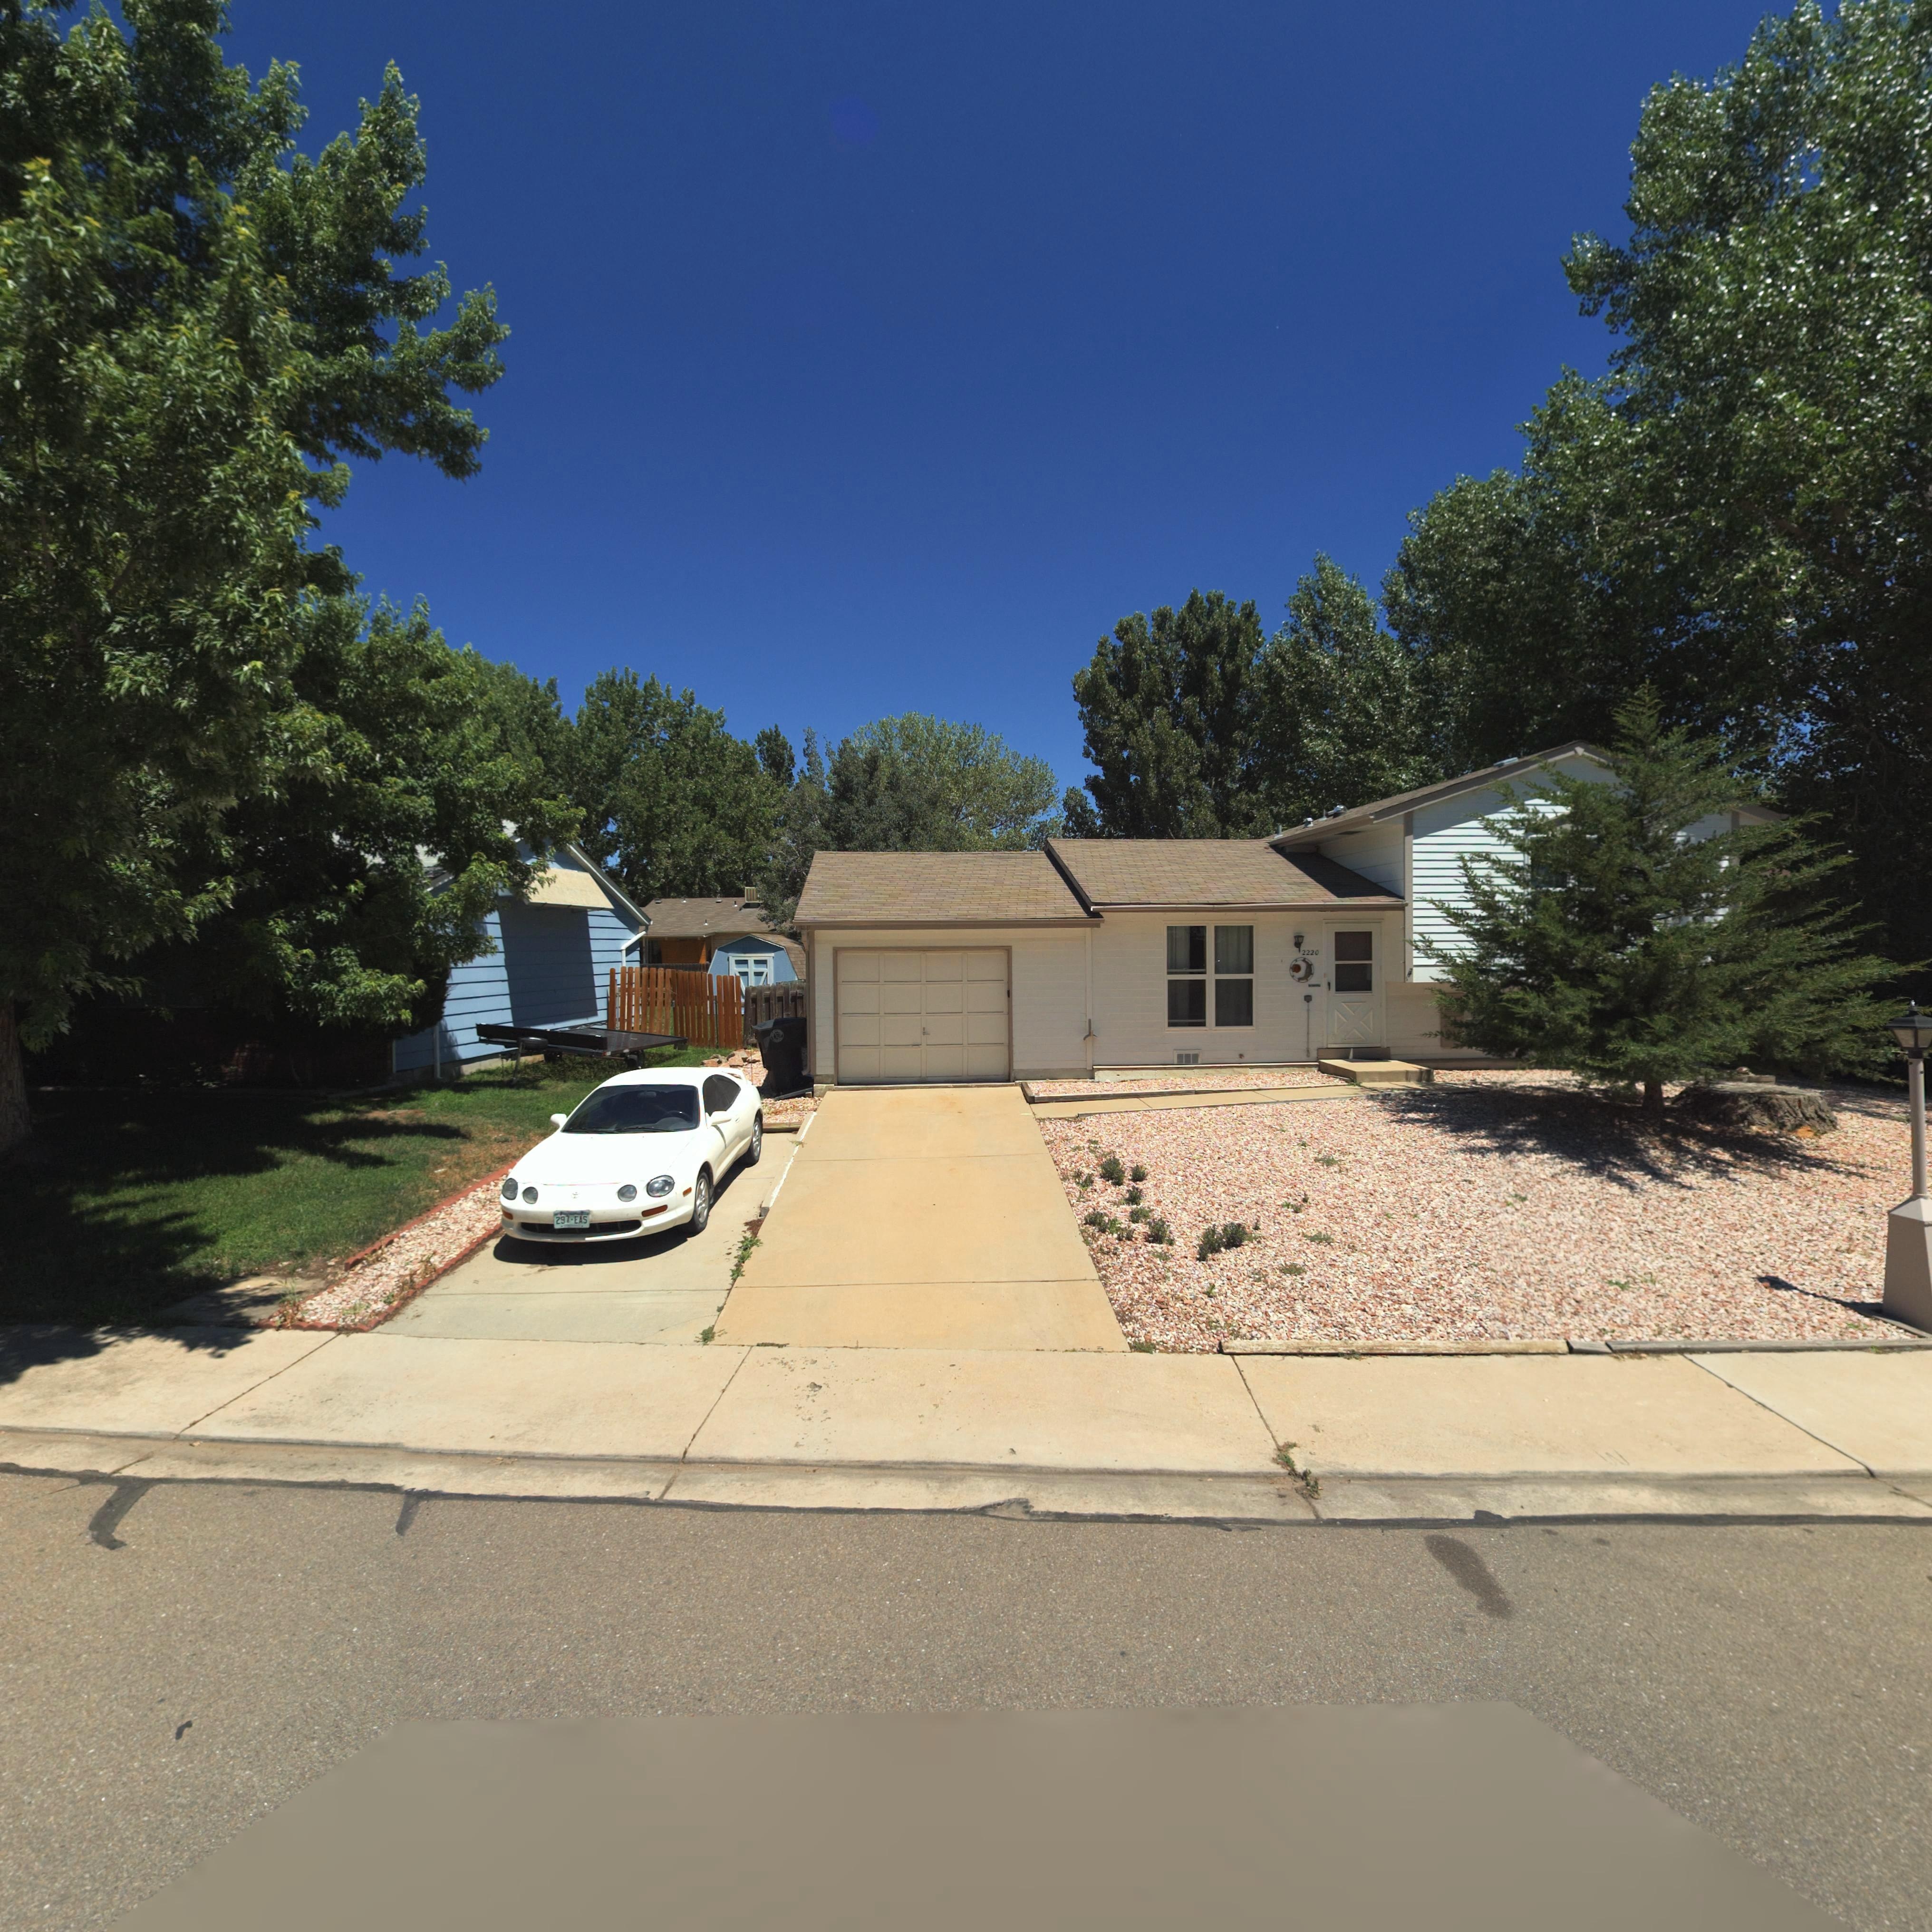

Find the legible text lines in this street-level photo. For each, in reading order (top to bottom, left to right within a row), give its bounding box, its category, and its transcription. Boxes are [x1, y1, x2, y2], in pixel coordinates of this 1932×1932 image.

[1302, 950, 1319, 956] StreetNumber: 2220